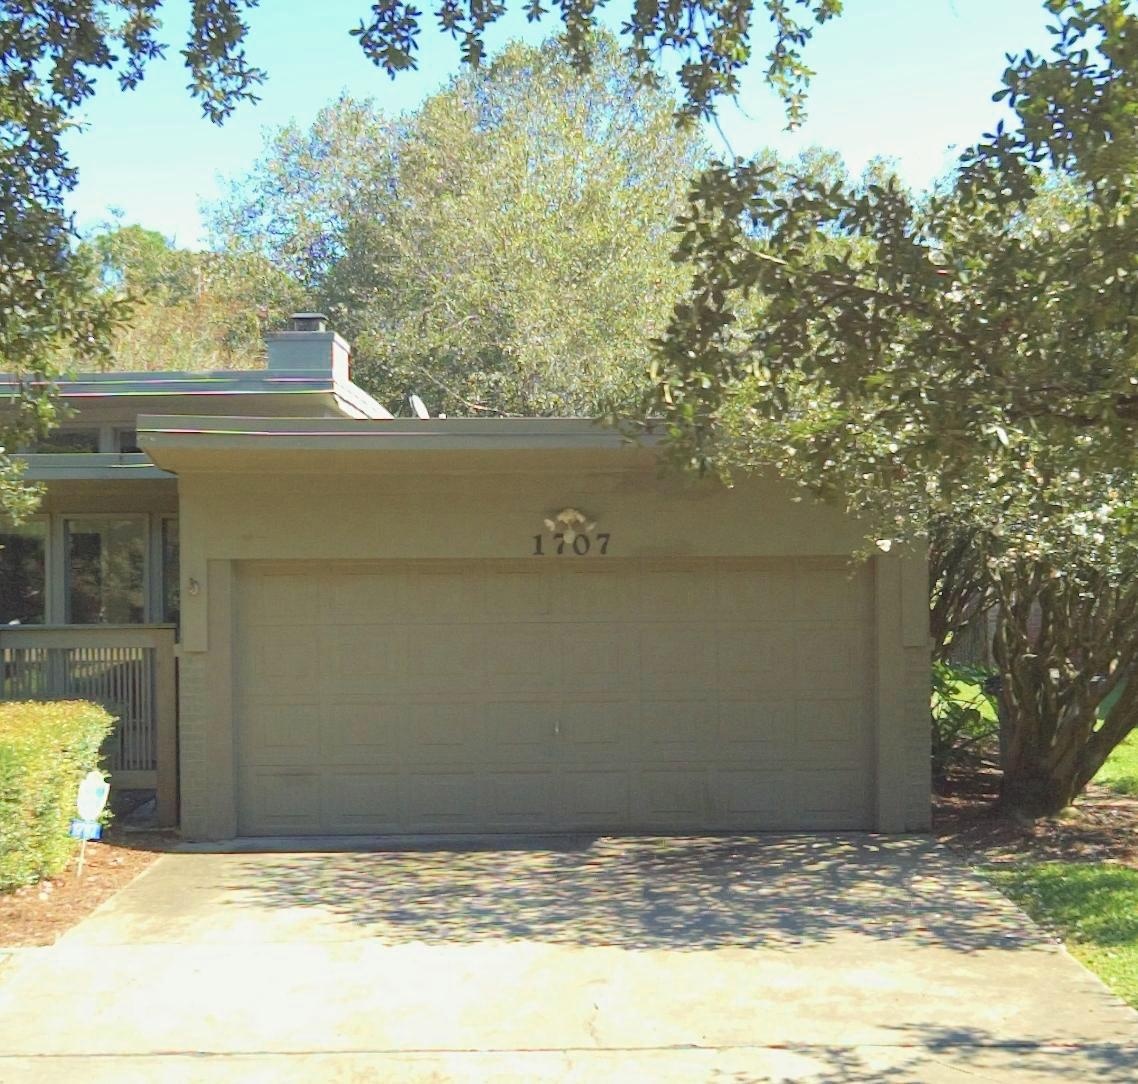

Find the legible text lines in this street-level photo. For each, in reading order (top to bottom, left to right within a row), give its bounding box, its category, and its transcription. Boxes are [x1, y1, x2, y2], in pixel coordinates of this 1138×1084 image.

[531, 532, 614, 558] StreetNumber: 1*07